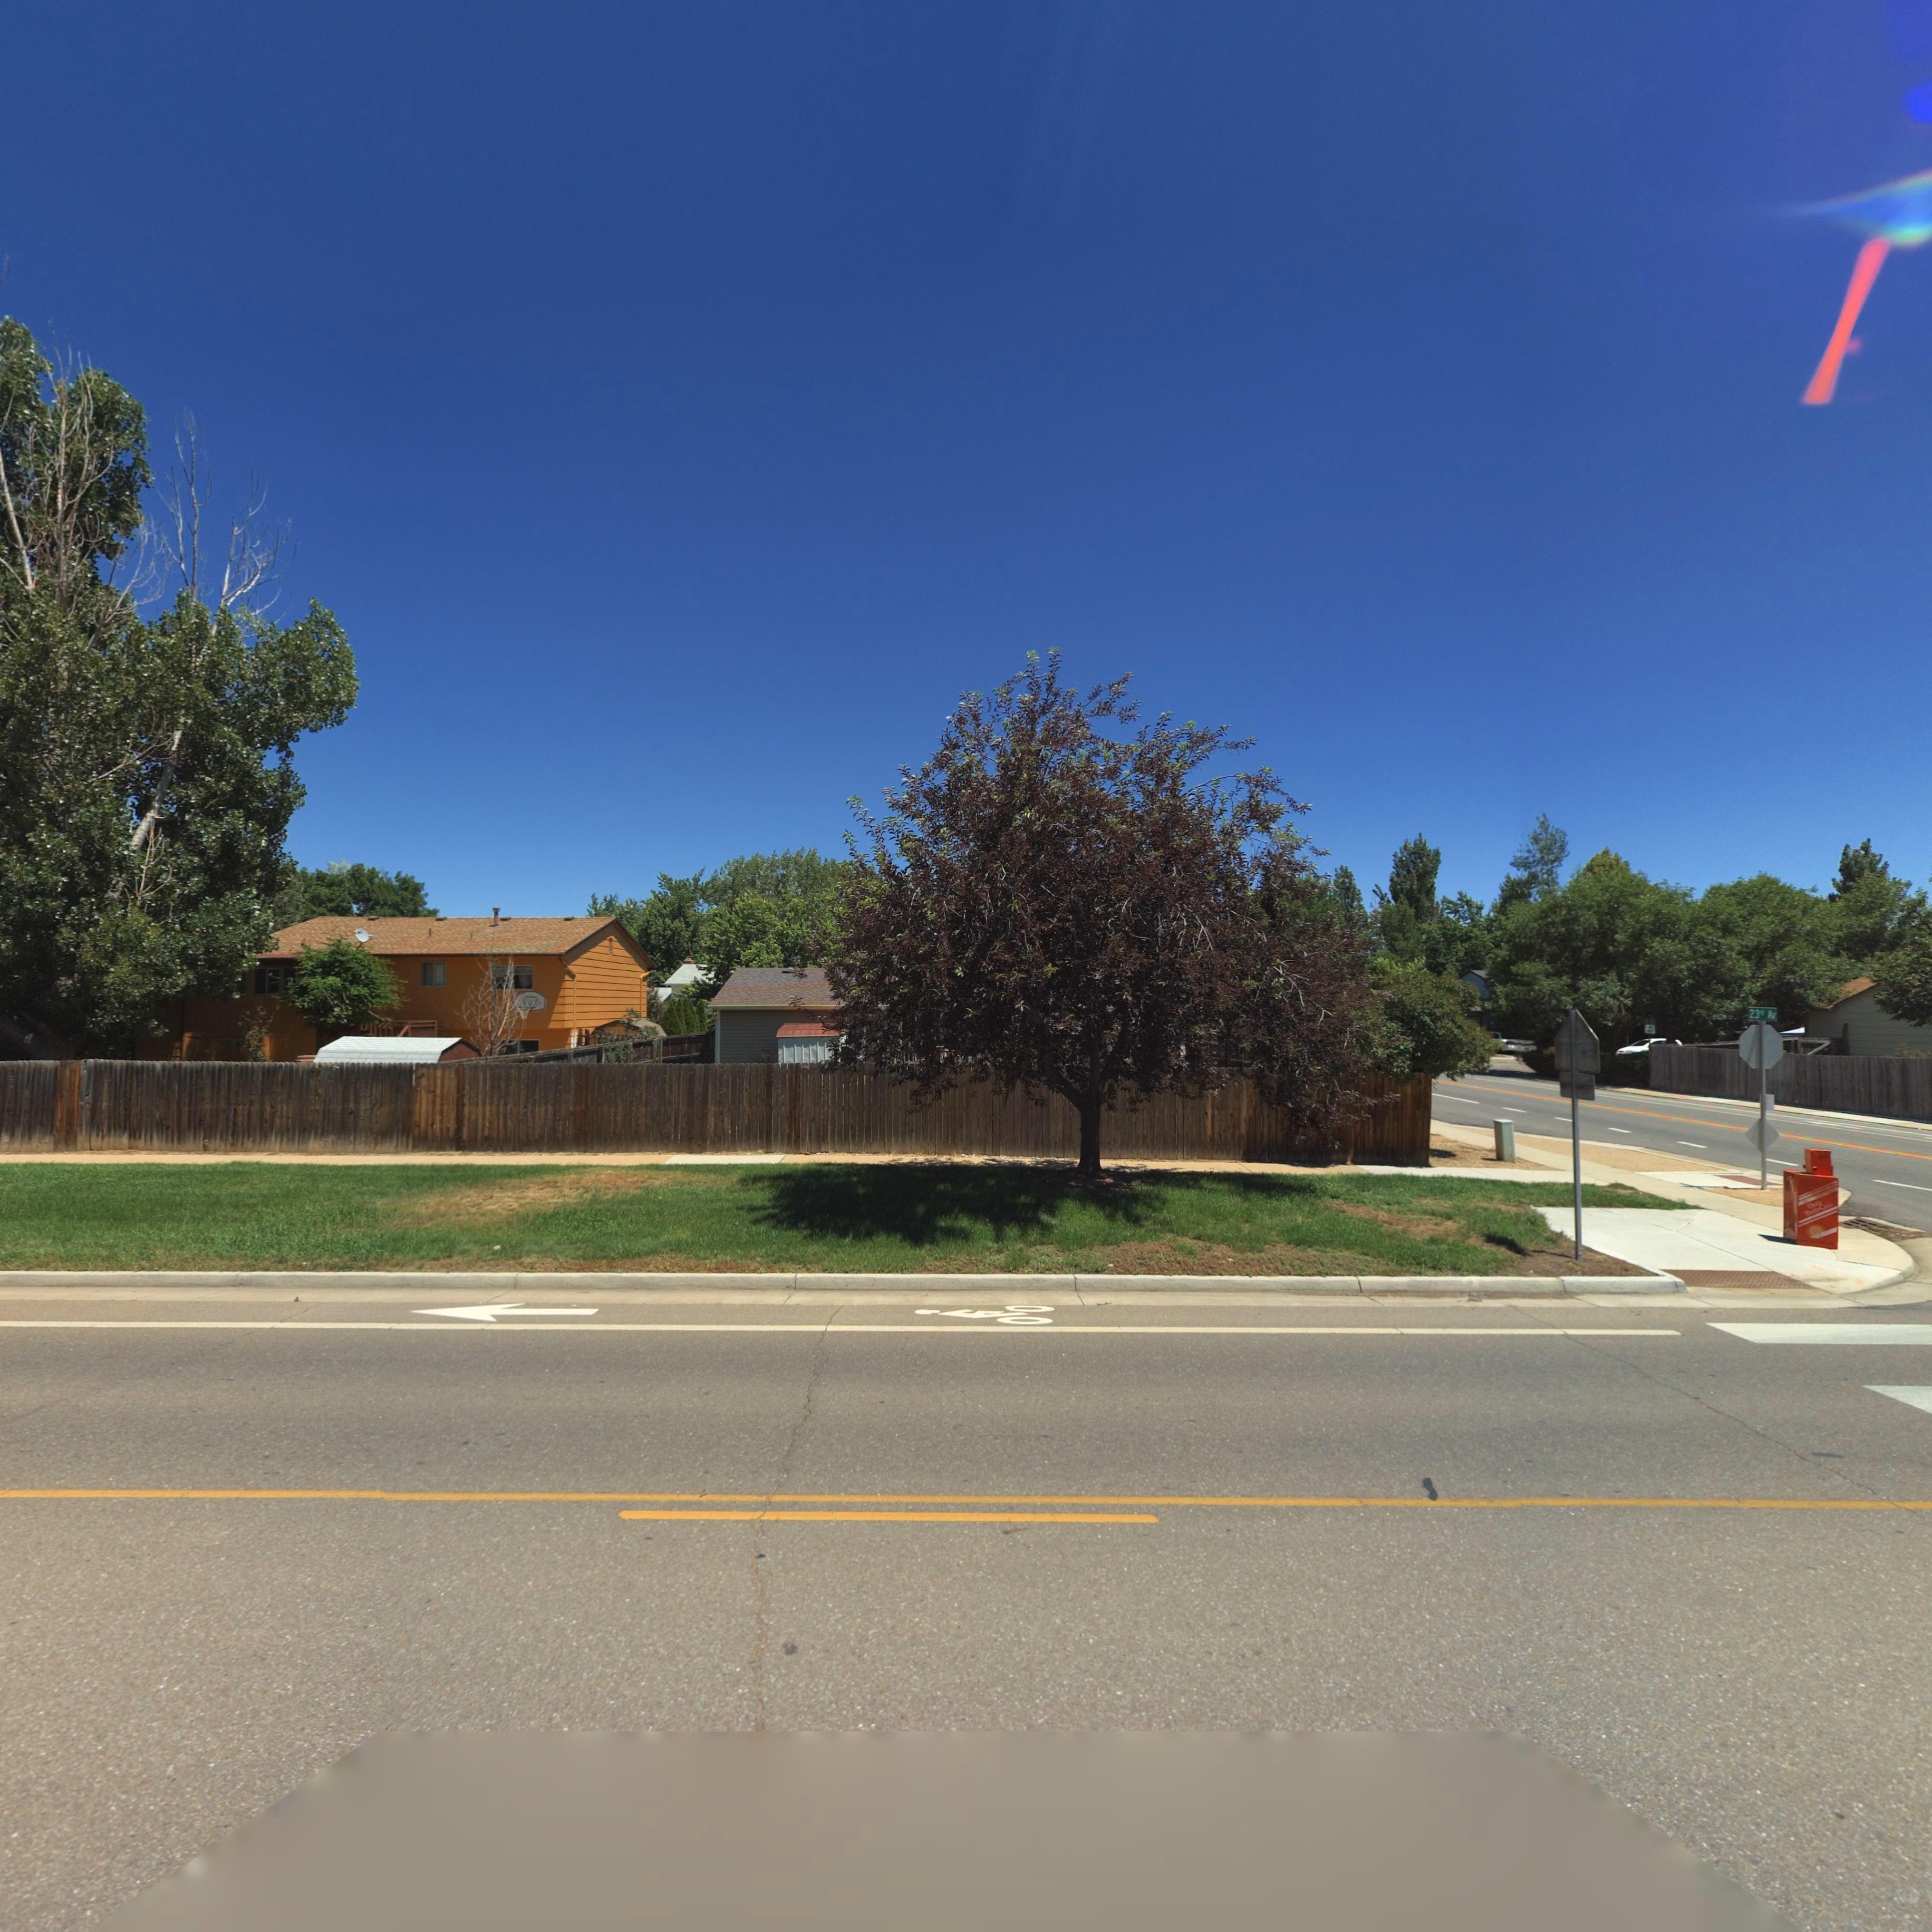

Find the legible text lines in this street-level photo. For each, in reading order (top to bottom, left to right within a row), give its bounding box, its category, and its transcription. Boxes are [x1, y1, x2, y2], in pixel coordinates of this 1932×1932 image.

[1749, 1009, 1777, 1020] StreetName: 23rd Av